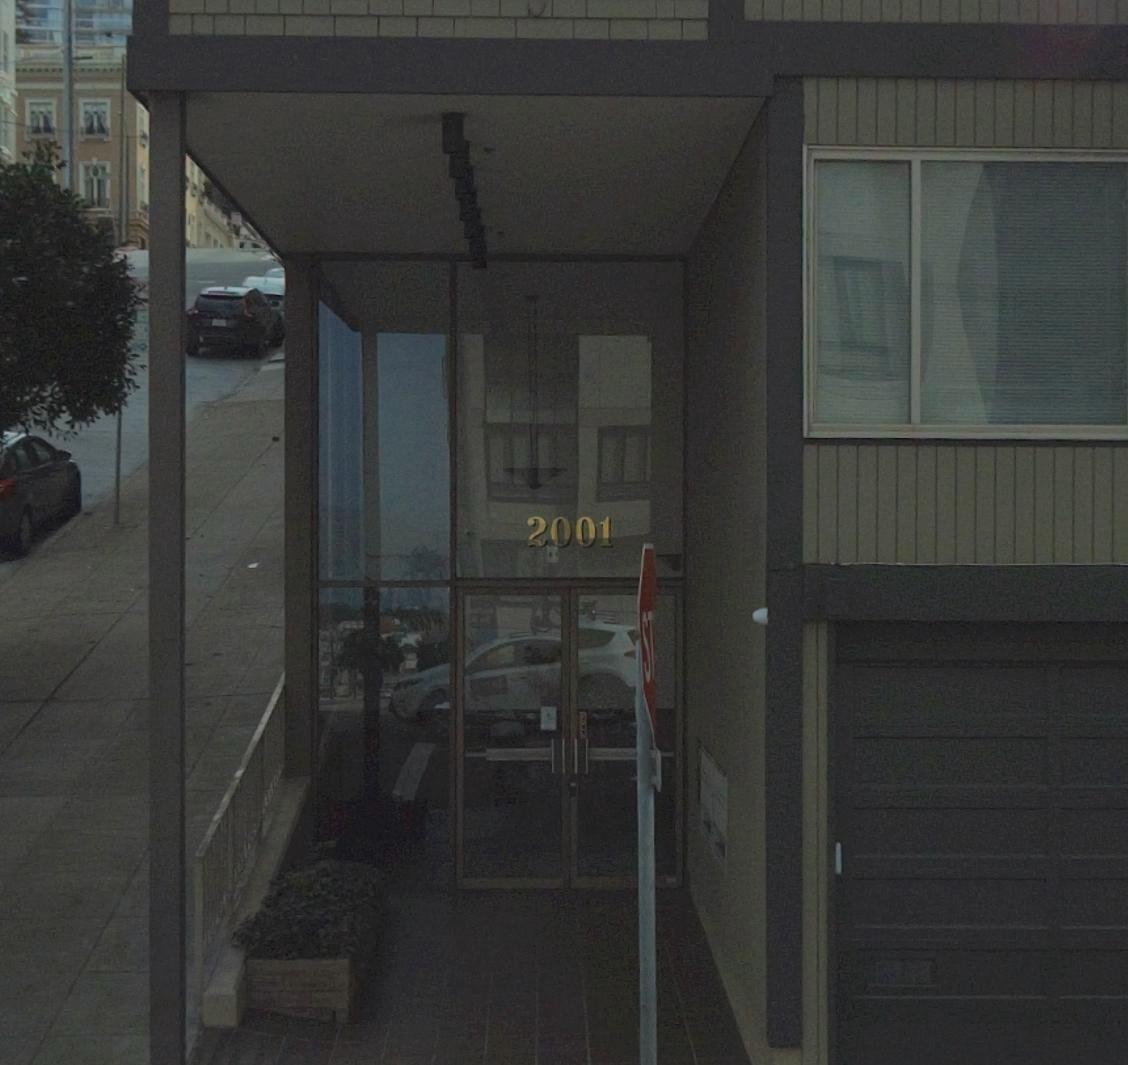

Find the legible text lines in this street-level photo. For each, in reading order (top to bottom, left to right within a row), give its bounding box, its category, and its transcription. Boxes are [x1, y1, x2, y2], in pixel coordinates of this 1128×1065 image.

[525, 515, 614, 549] StreetNumber: 2001
[637, 609, 654, 685] None: S